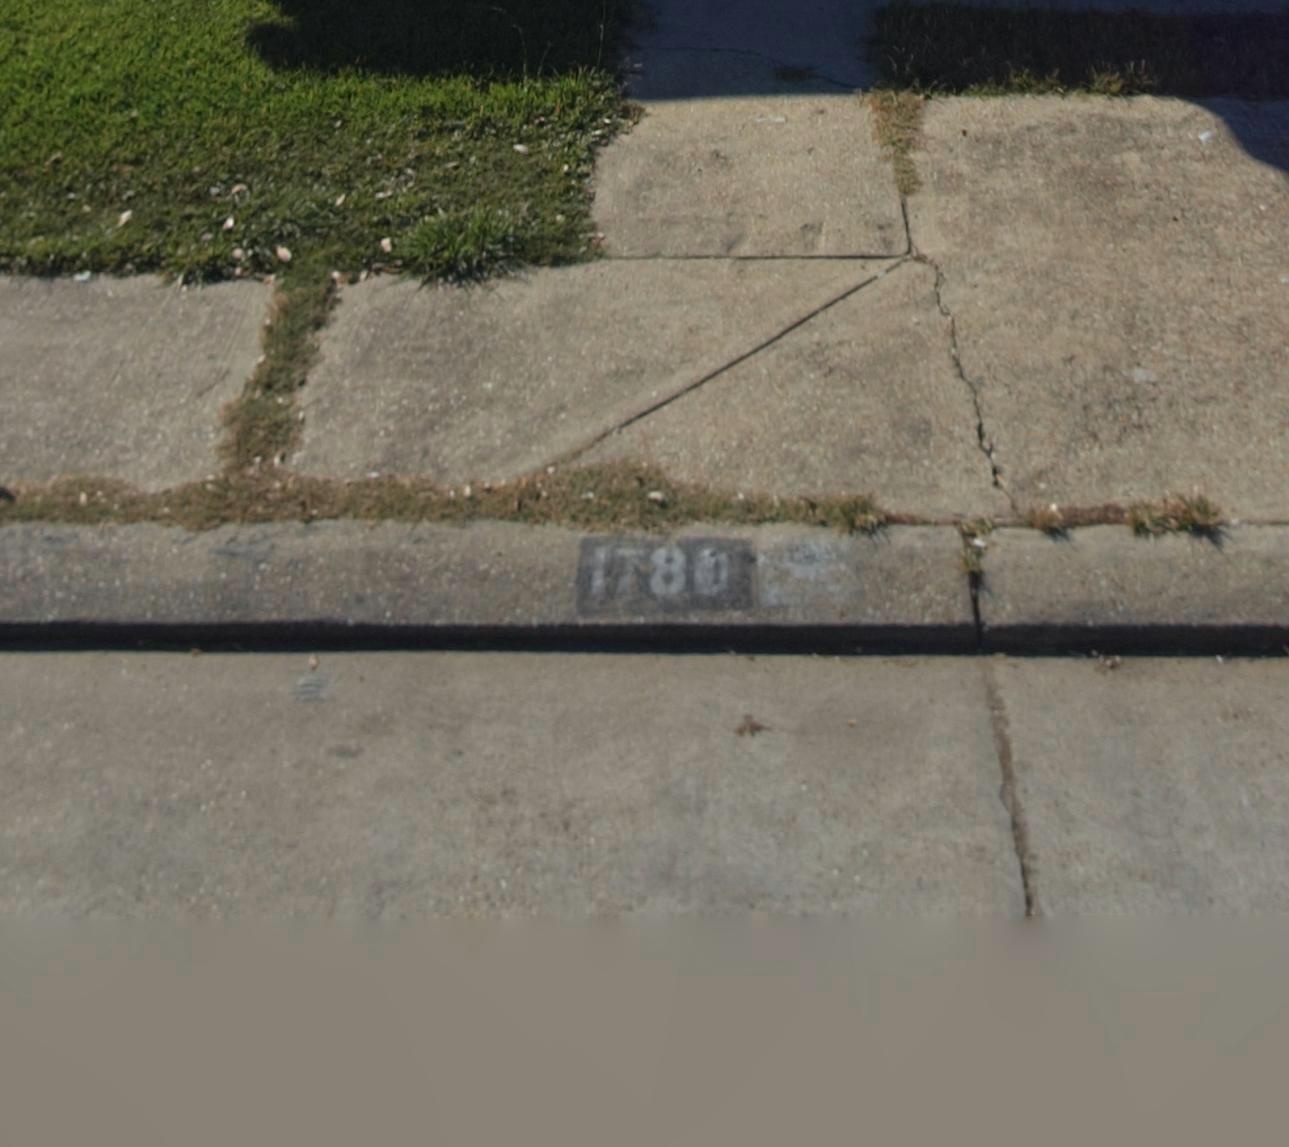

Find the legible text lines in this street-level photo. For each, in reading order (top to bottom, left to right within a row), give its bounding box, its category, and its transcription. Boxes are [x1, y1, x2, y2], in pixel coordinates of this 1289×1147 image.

[584, 543, 732, 600] StreetNumber: 1780